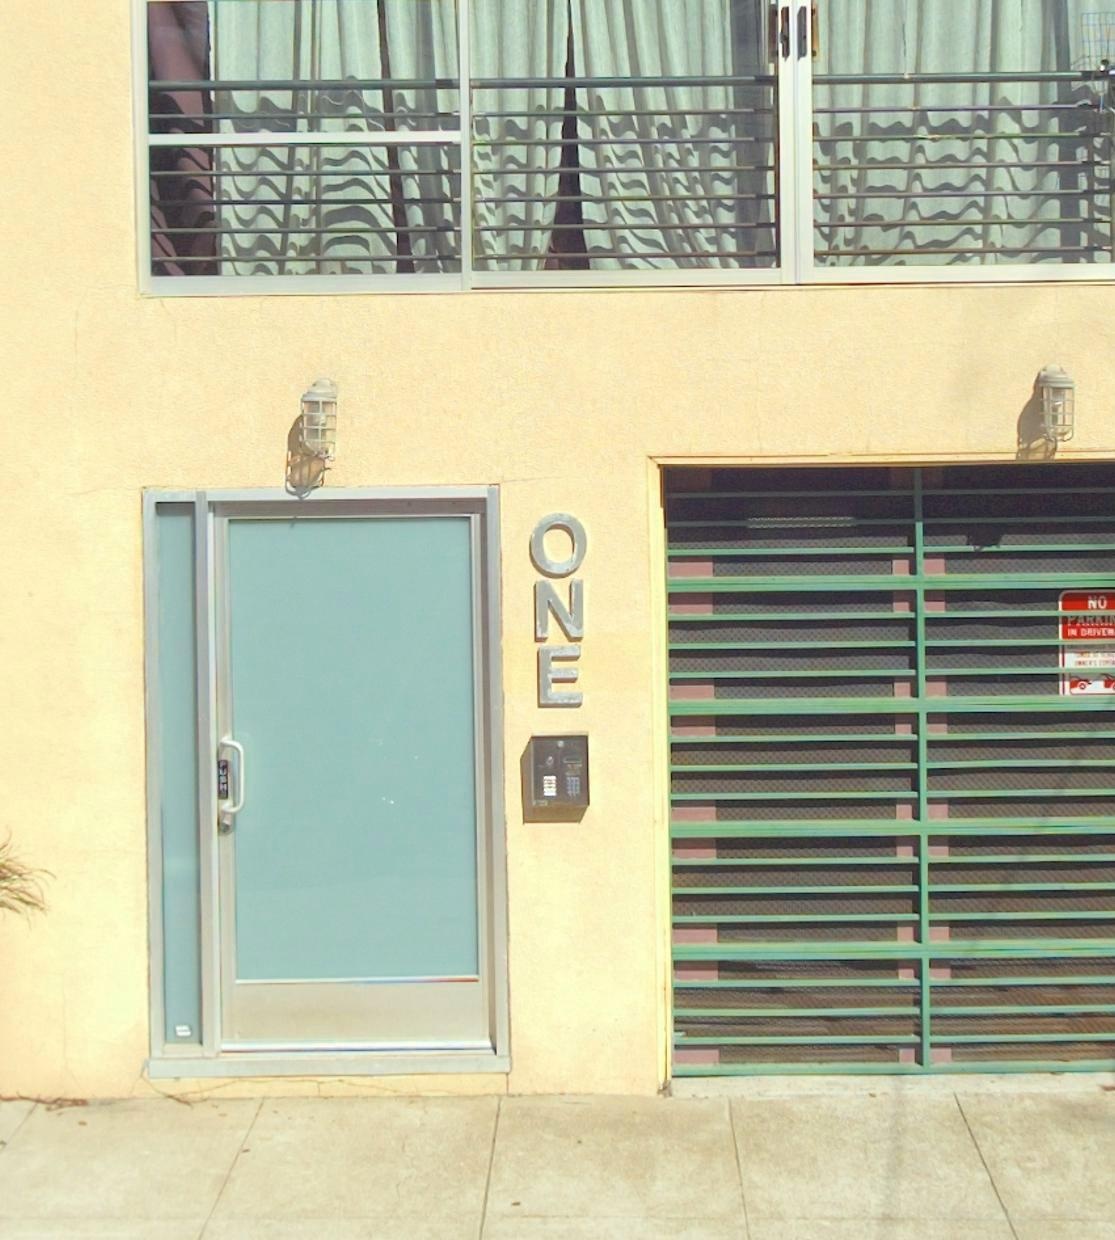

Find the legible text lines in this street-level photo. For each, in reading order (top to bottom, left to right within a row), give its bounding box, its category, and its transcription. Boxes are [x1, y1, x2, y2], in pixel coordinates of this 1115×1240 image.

[526, 506, 589, 713] StreetNumber: ONE
[1086, 592, 1109, 614] None: NO
[1065, 626, 1115, 639] None: IN DRIVER
[217, 759, 229, 793] None: PUSH